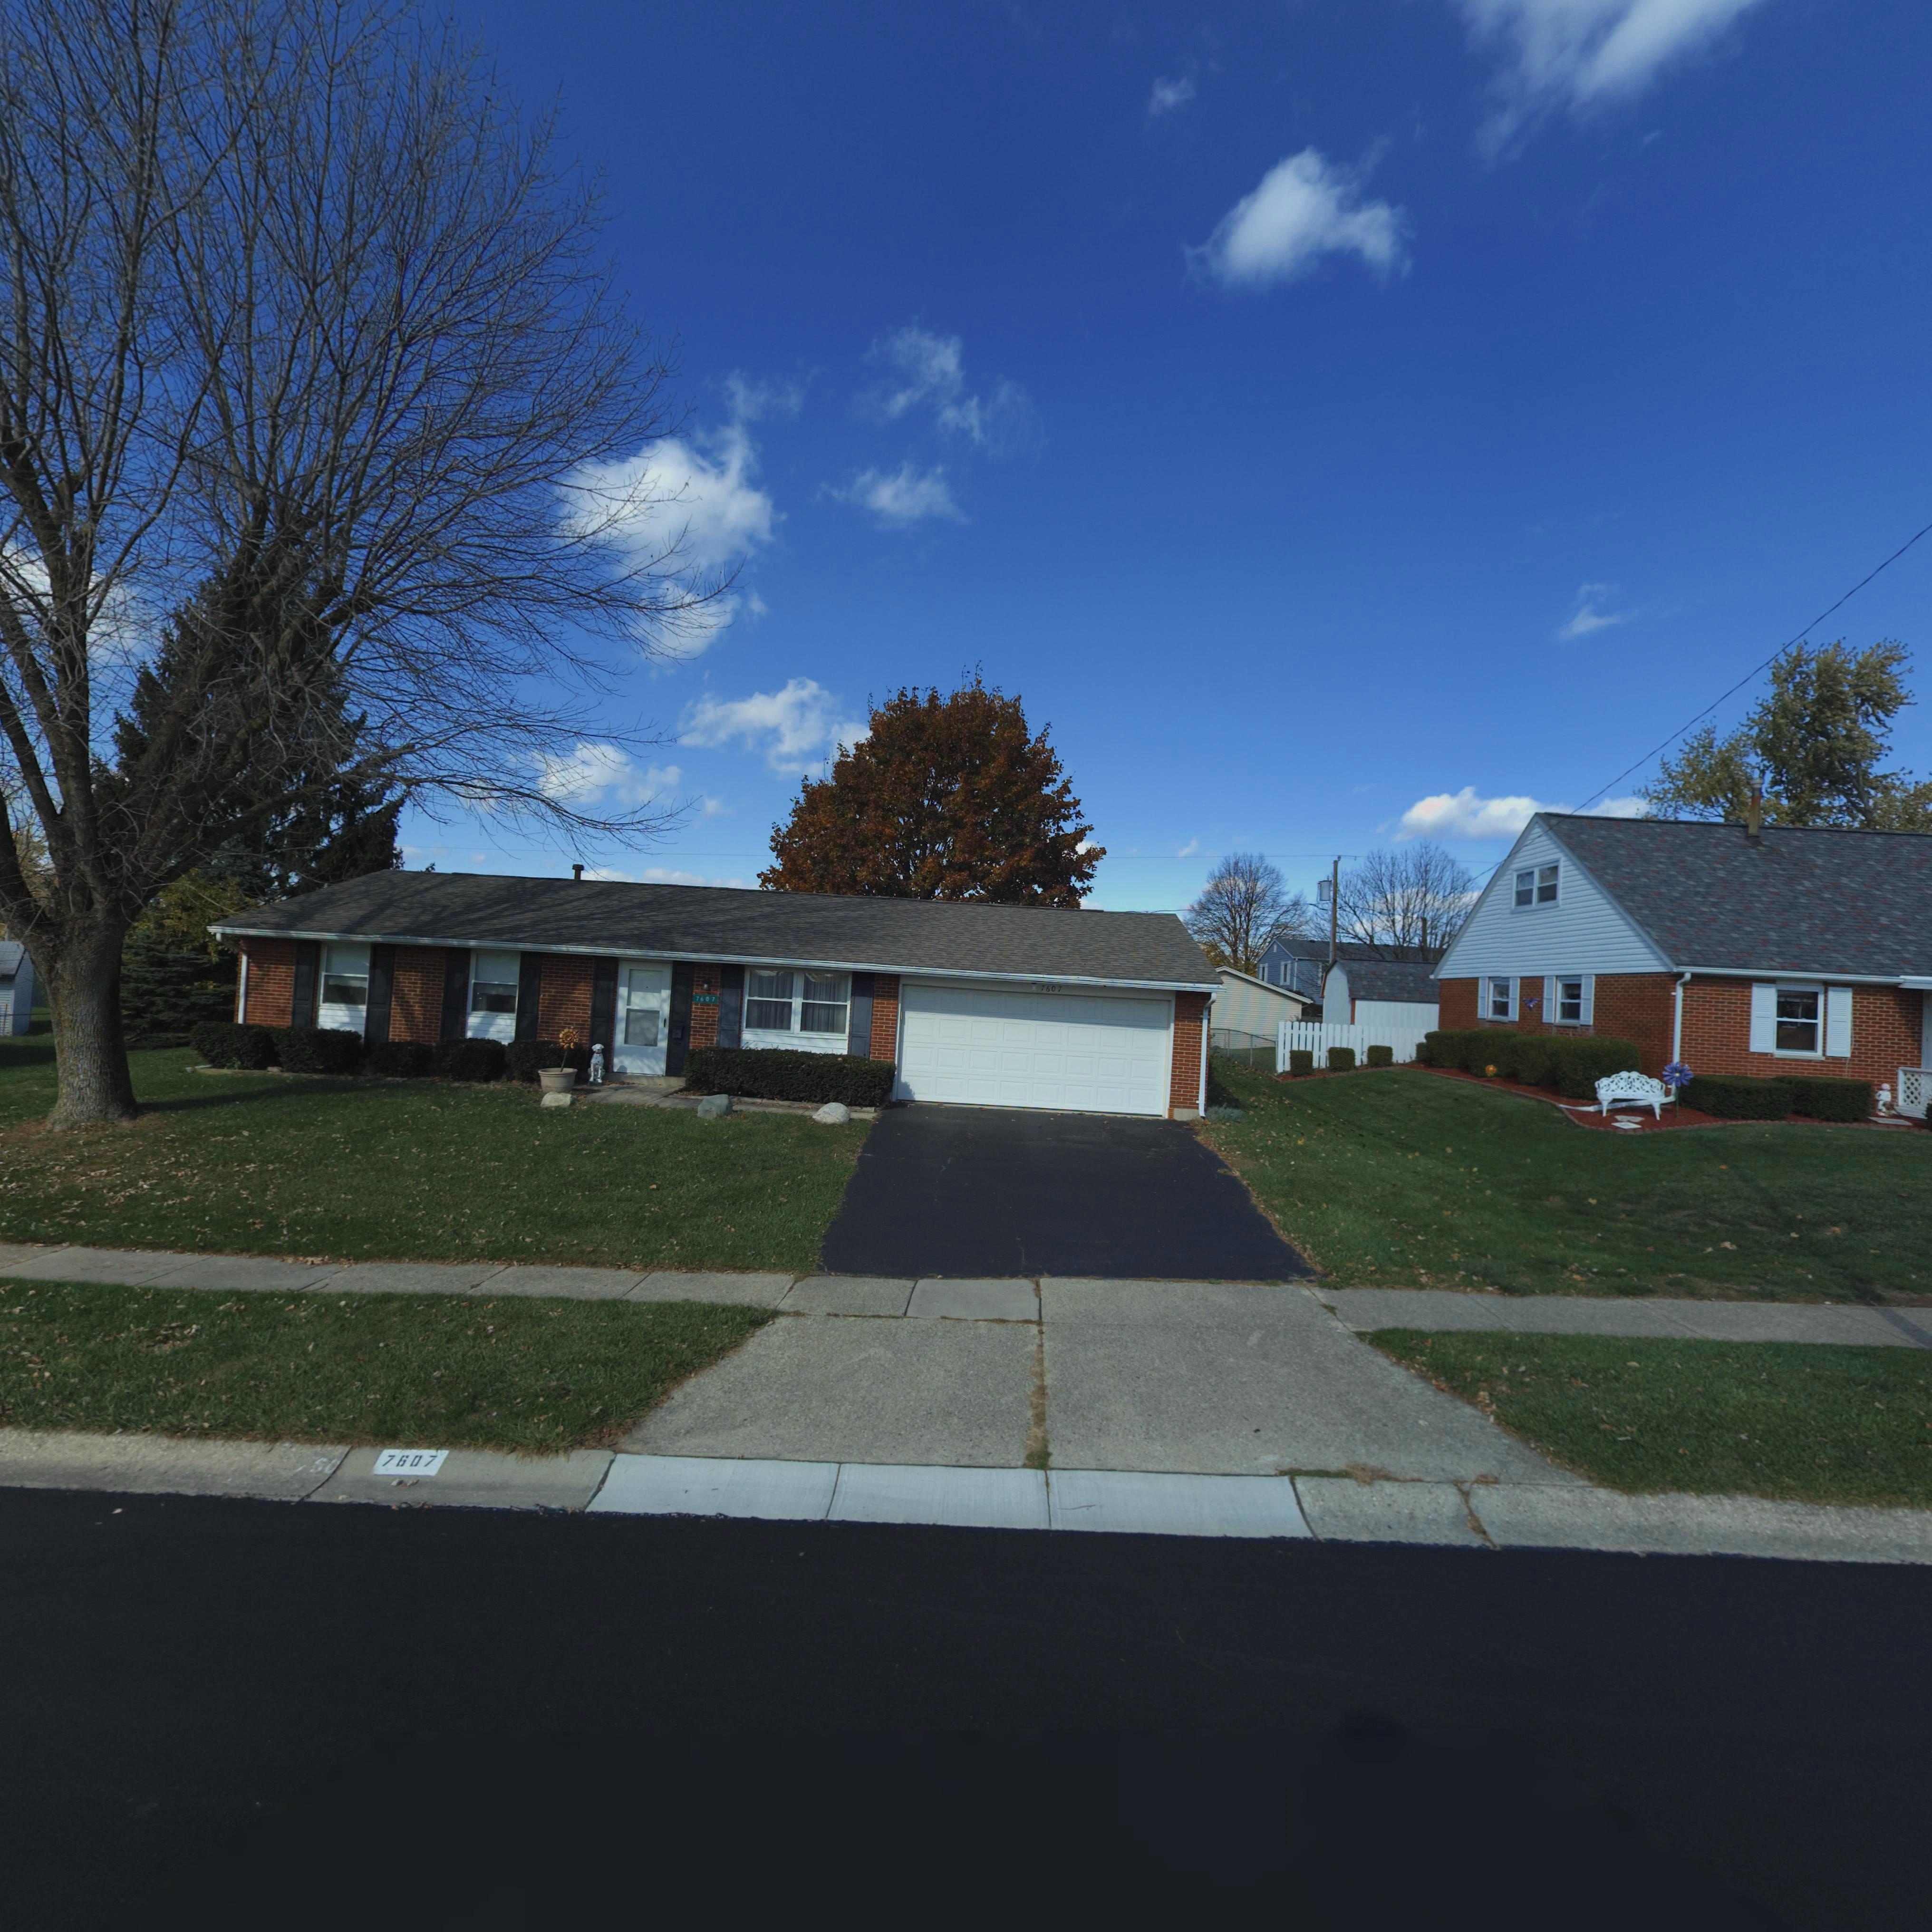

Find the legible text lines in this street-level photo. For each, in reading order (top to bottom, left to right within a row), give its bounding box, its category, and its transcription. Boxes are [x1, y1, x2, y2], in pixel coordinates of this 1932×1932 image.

[1041, 985, 1063, 993] StreetNumber: 7607
[696, 996, 715, 1002] StreetNumber: 7607
[309, 1456, 342, 1476] StreetNumber: 60
[380, 1454, 438, 1468] StreetNumber: 7607